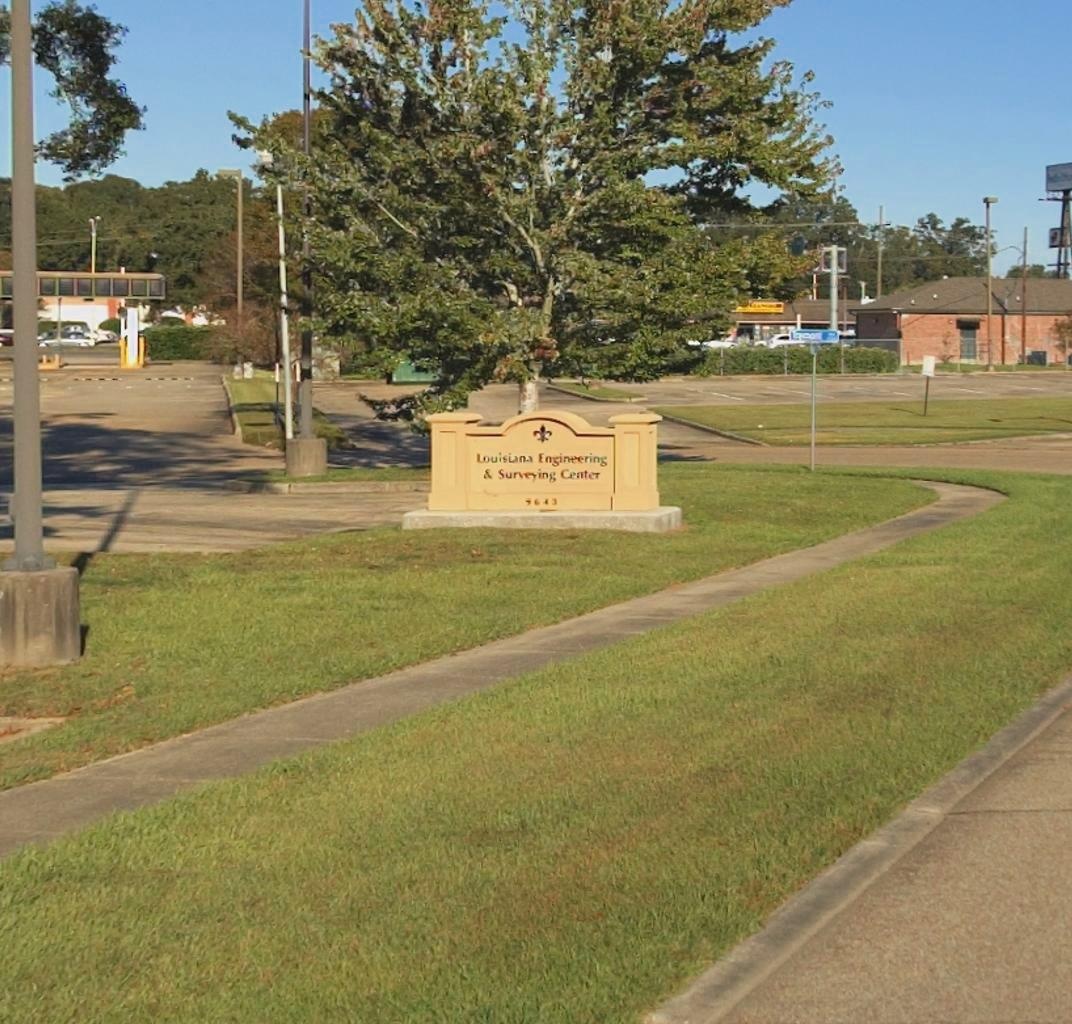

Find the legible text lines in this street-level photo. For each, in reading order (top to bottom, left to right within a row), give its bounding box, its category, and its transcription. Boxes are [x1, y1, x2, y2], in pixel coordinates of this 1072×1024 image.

[476, 451, 609, 467] BusinessName: Louisana Engineering
[482, 468, 602, 483] BusinessName: & Surveying Center
[524, 497, 558, 507] StreetNumber: 9643